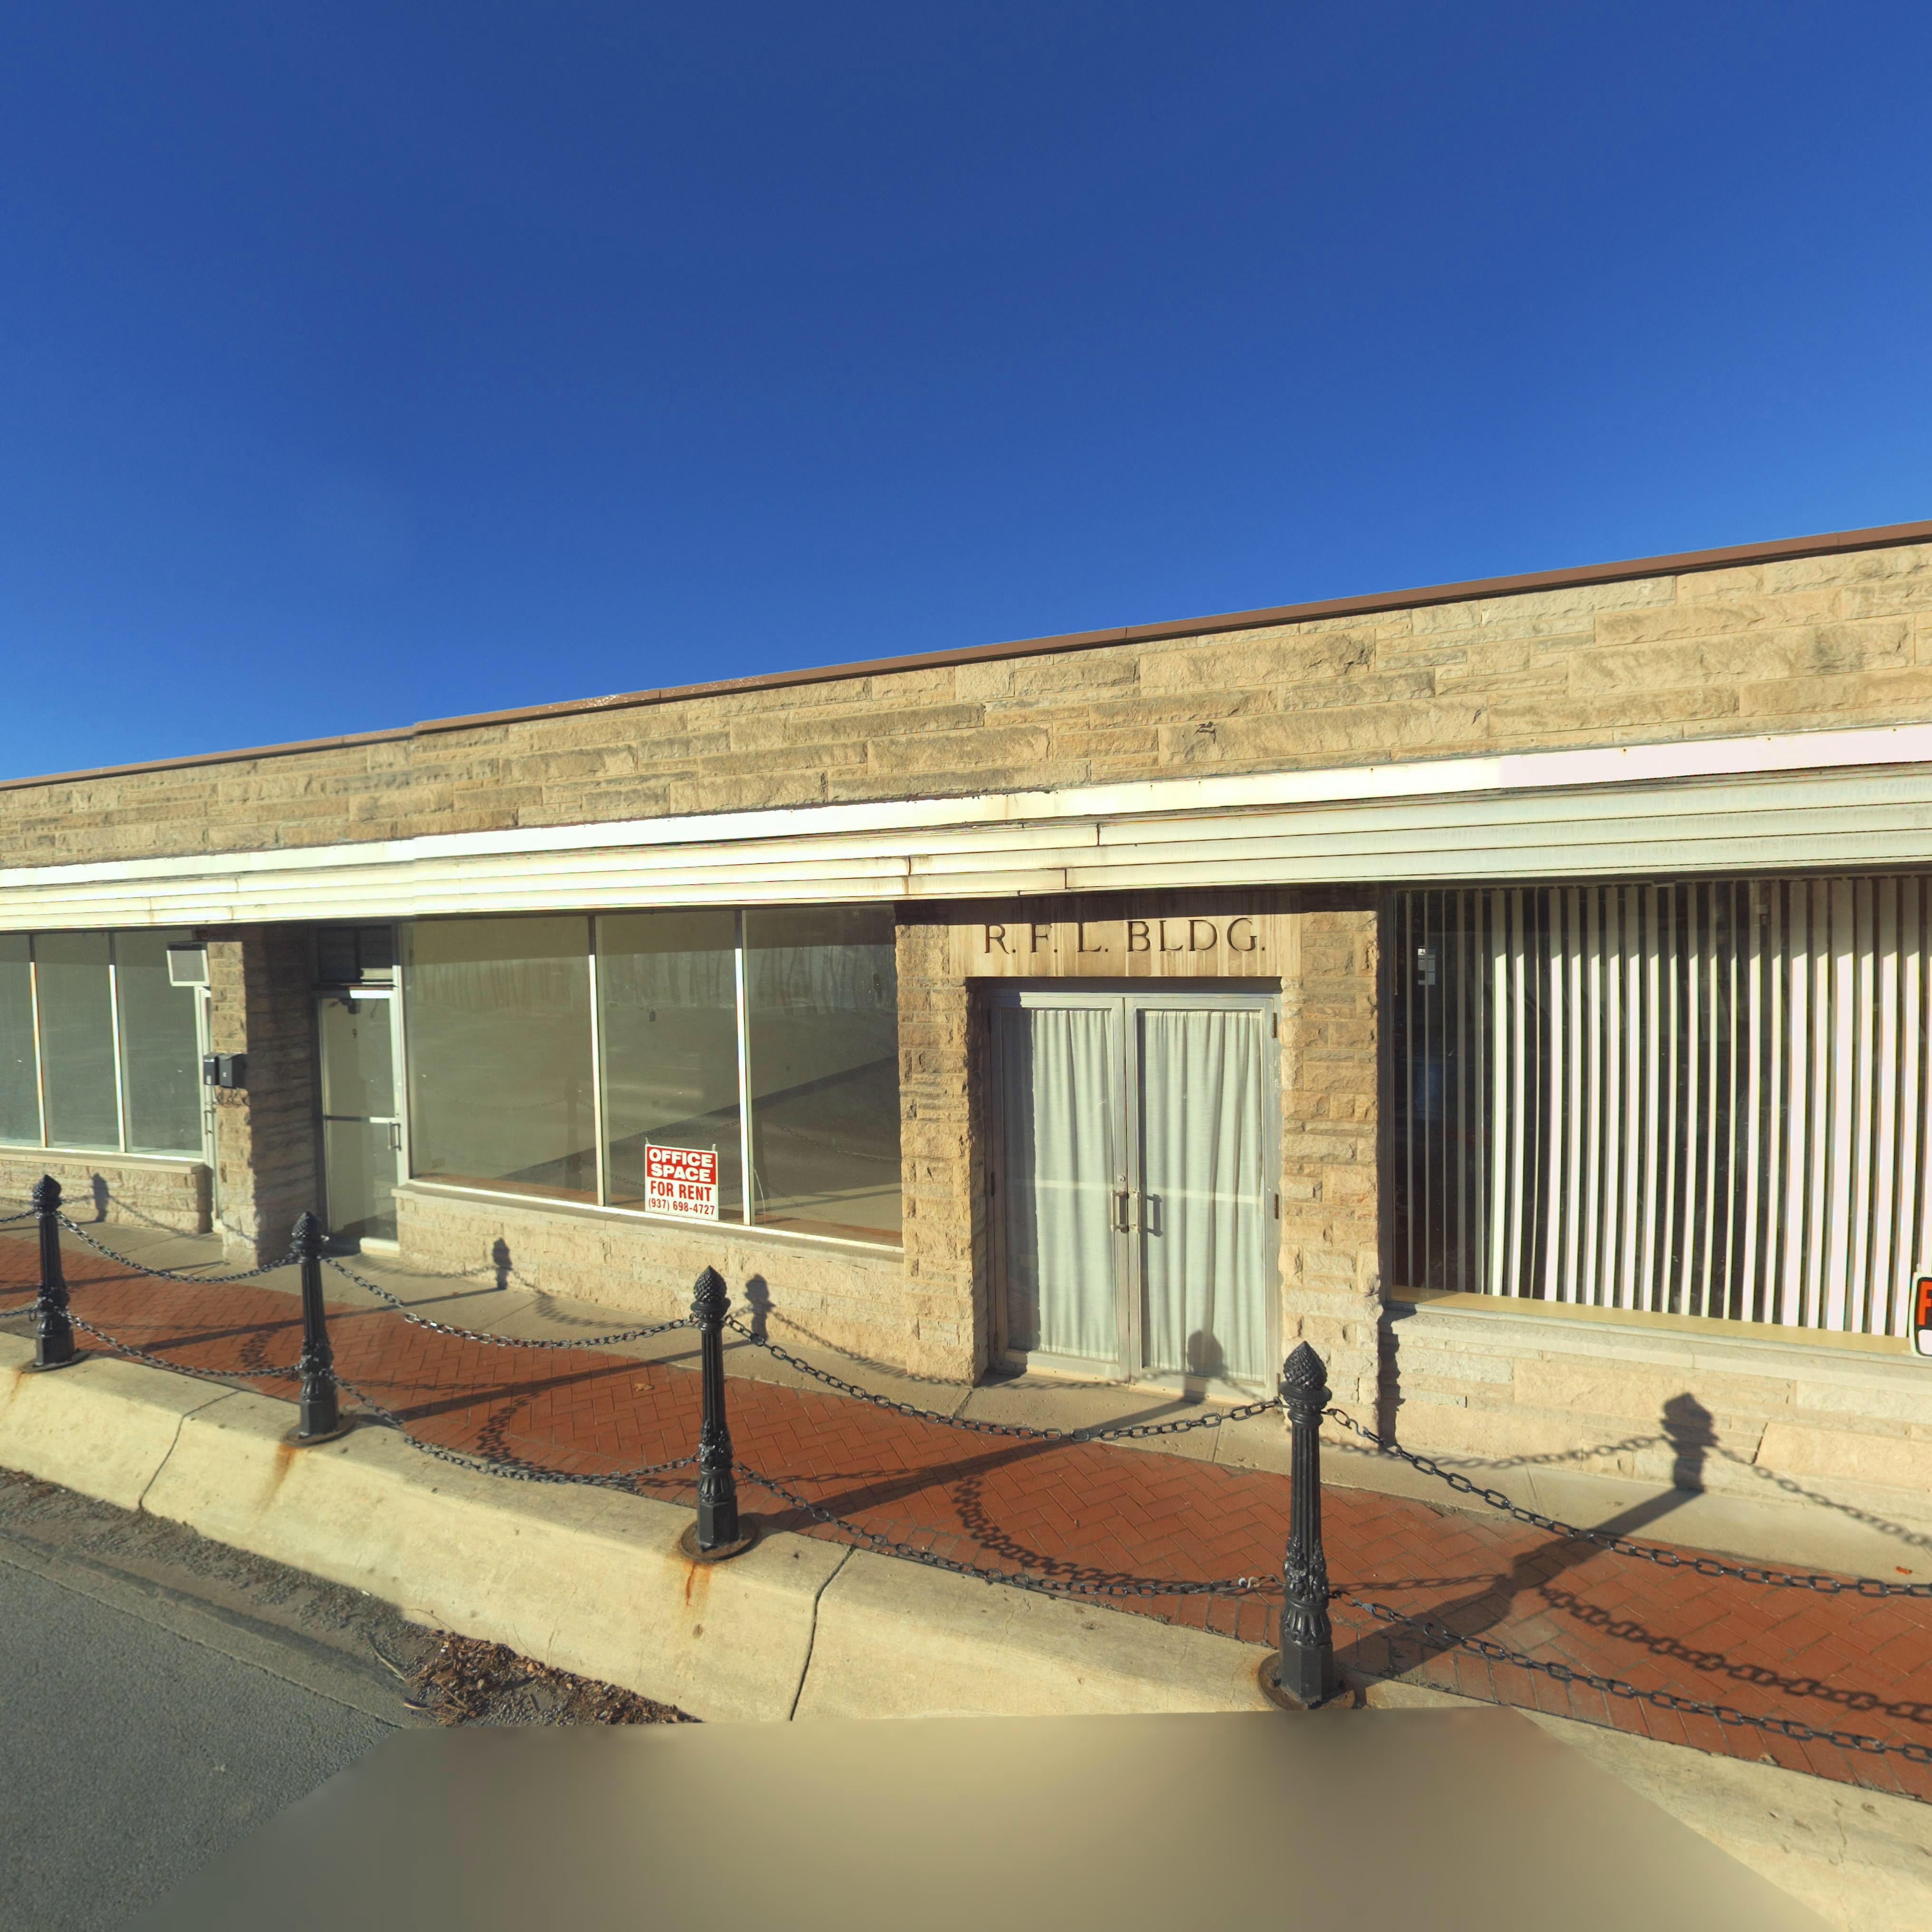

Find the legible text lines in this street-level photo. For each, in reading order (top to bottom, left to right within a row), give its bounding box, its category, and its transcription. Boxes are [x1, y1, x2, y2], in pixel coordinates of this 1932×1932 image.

[978, 917, 1267, 962] None: R.F.L. BLDG.
[351, 1028, 358, 1039] StreetNumber: 9